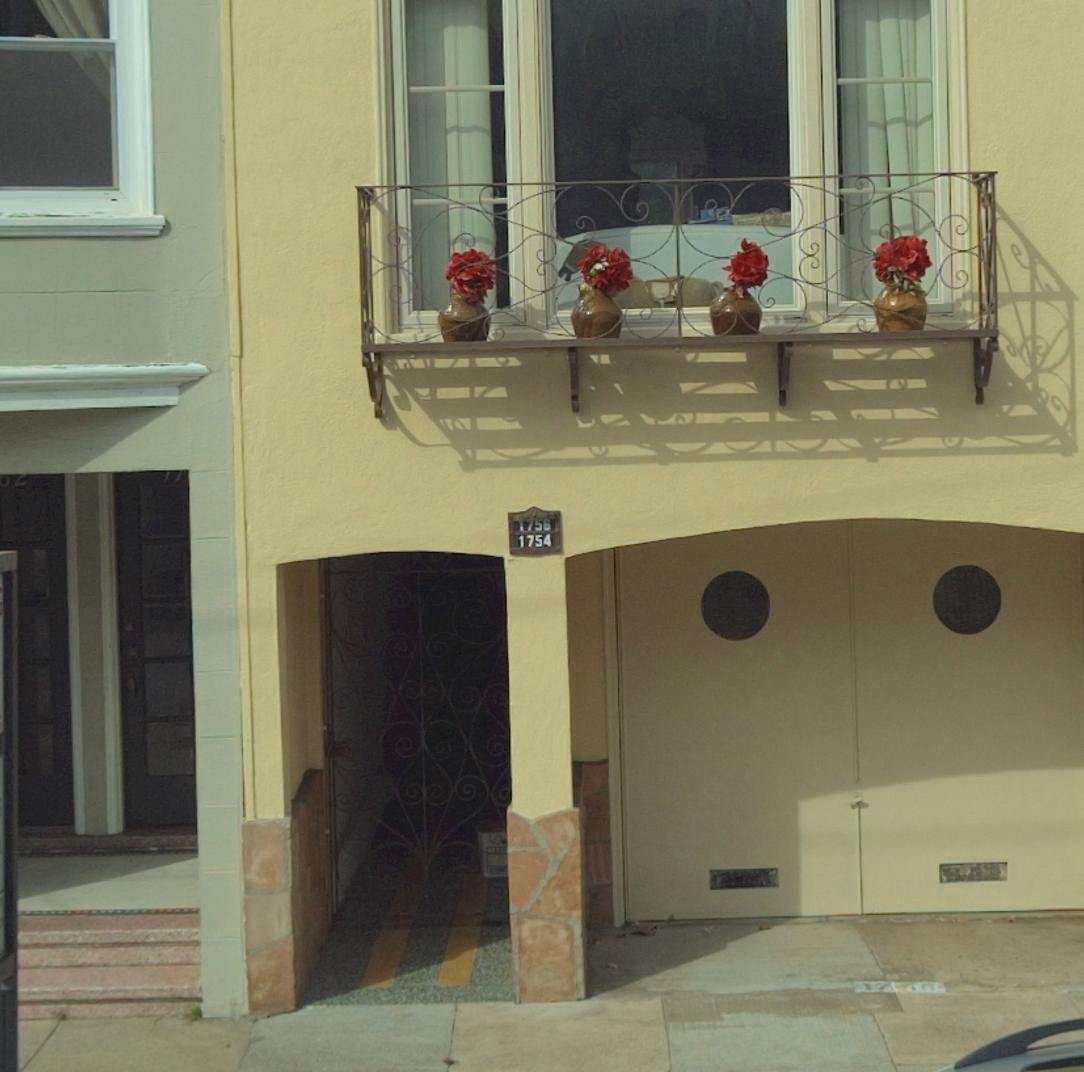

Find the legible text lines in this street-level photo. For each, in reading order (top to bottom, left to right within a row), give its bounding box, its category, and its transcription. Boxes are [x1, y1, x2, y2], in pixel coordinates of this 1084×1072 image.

[516, 517, 553, 533] StreetNumber: 1756
[515, 531, 554, 551] None: 1754